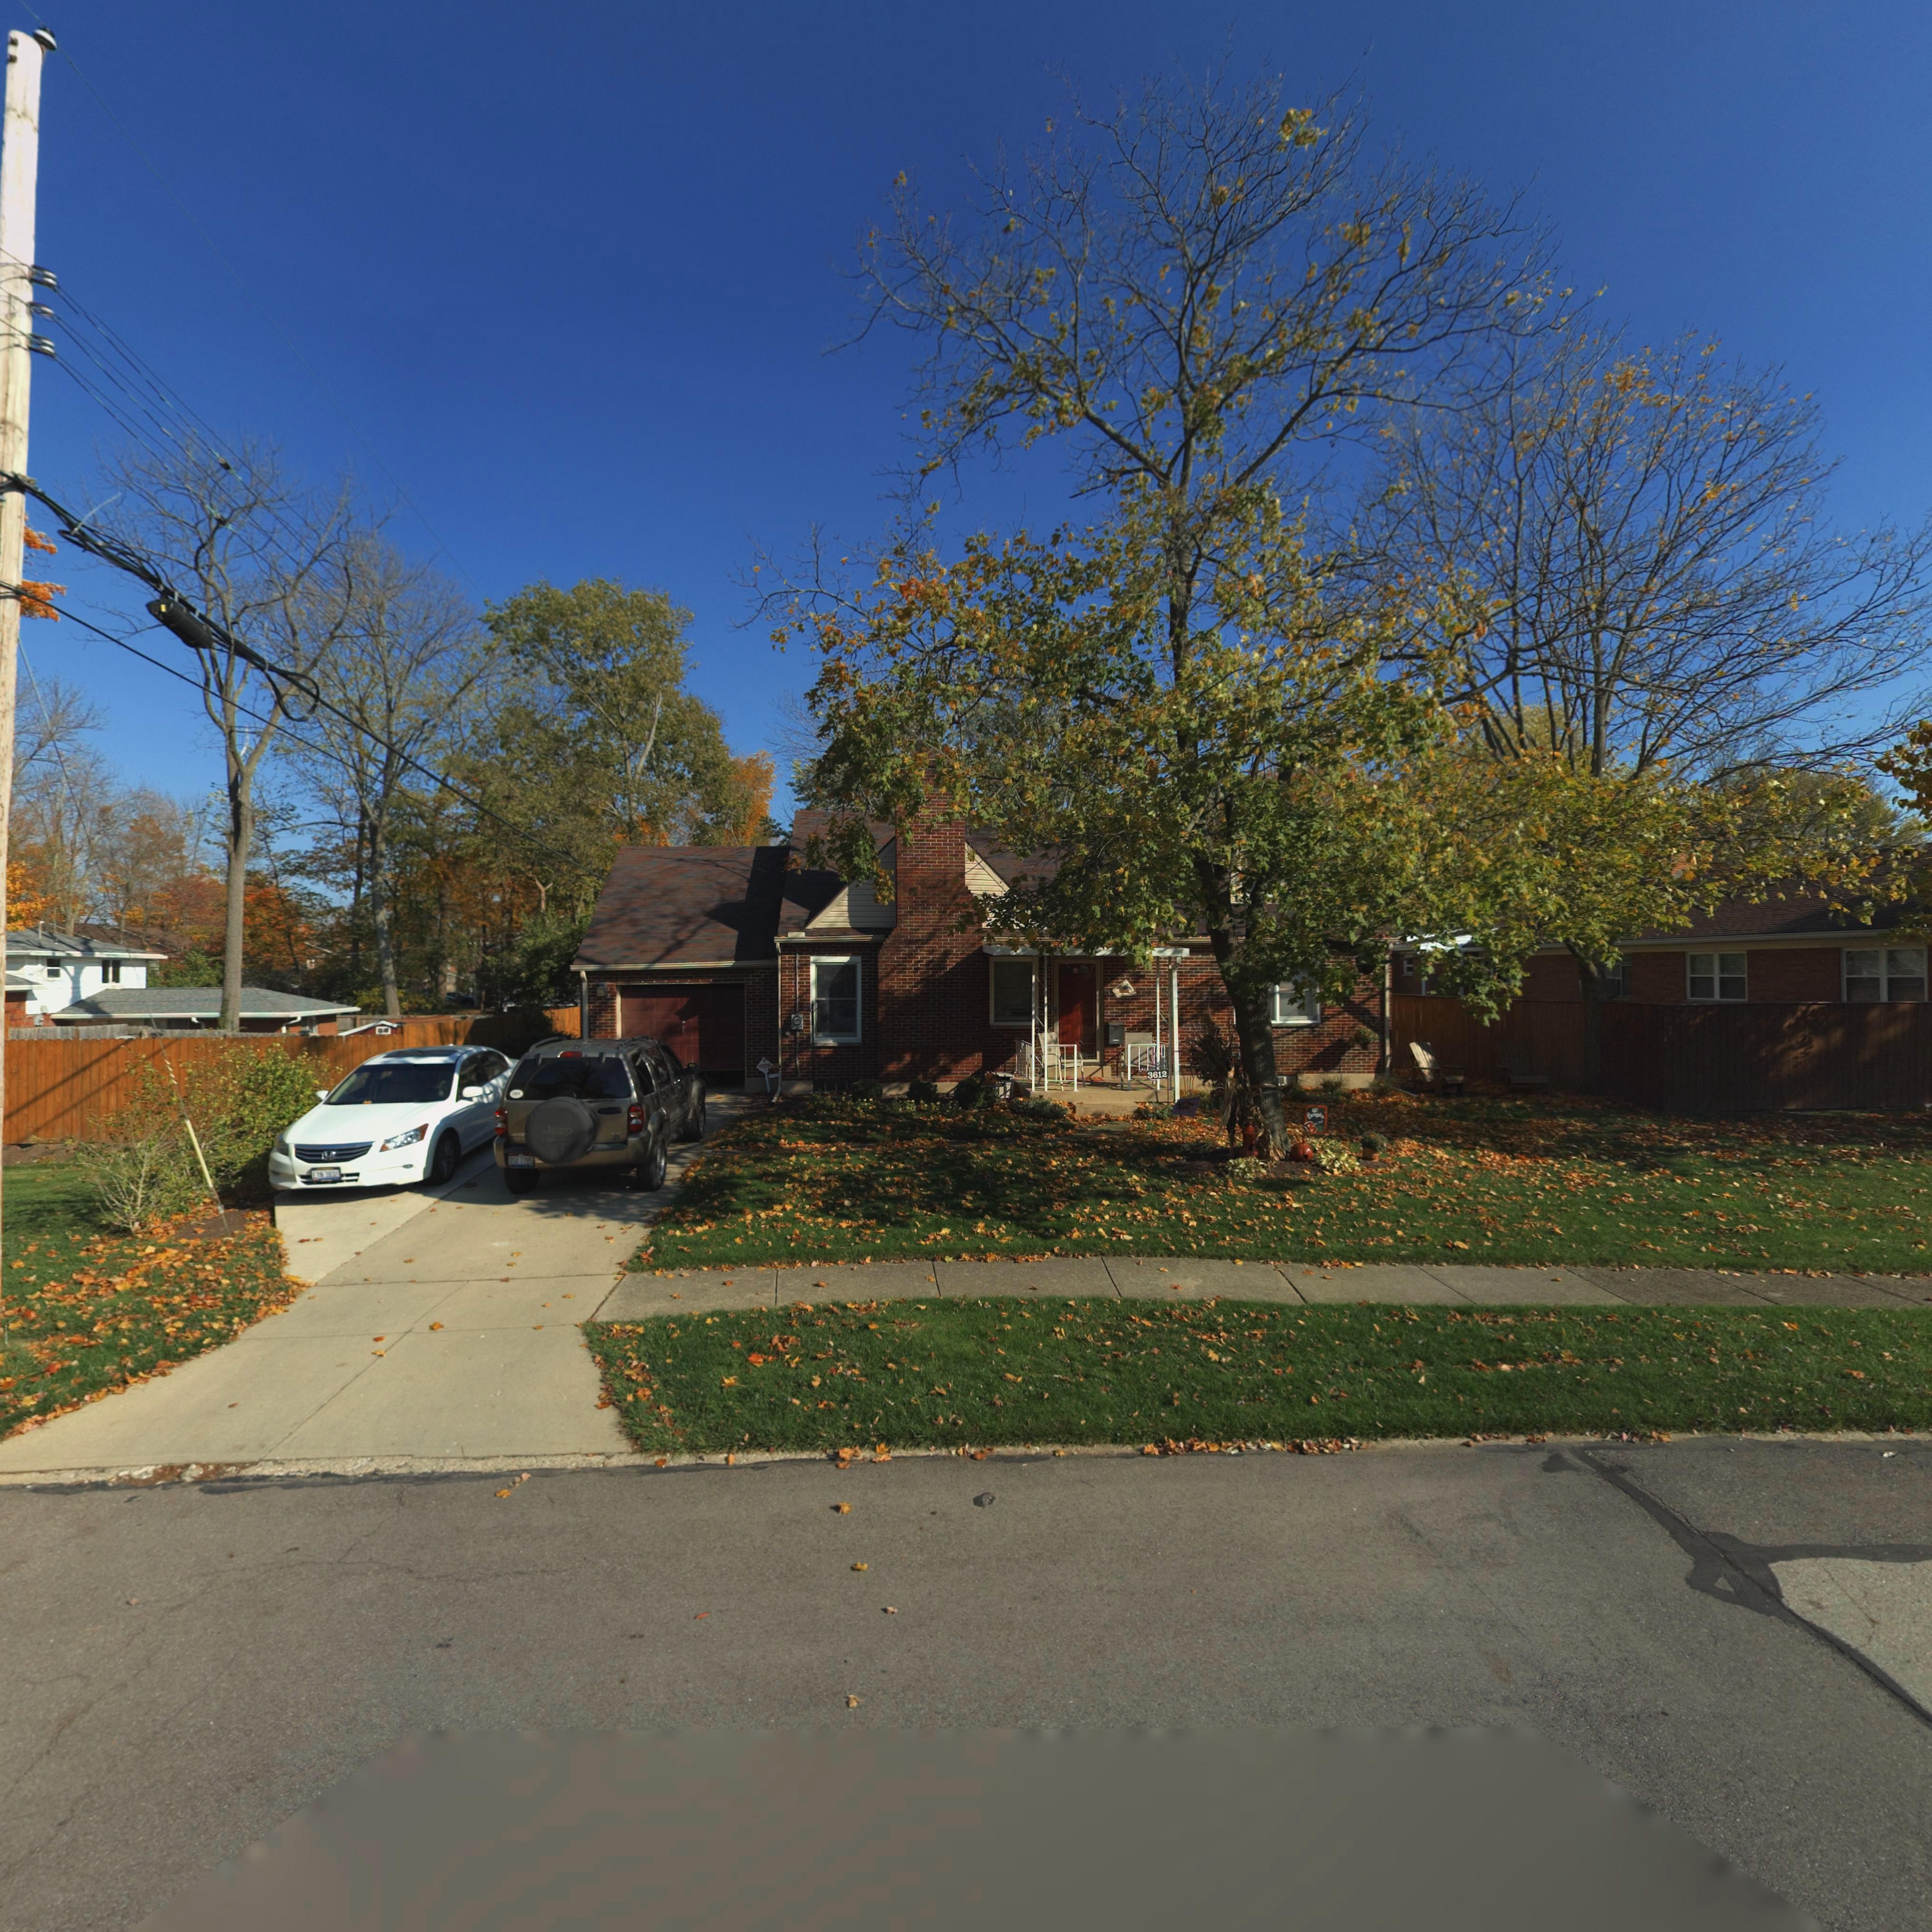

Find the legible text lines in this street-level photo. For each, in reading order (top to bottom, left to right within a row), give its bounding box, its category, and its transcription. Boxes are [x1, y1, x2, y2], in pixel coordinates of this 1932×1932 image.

[1147, 1070, 1168, 1079] StreetNumber: 3612
[512, 1092, 521, 1096] None: OBX
[1311, 1108, 1319, 1113] None: GO
[1305, 1111, 1313, 1121] None: B
[541, 1124, 575, 1138] None: Jeep
[1303, 1121, 1317, 1136] None: B
[508, 1157, 533, 1165] None: DSU*7795
[312, 1170, 338, 1179] None: EYN*3832